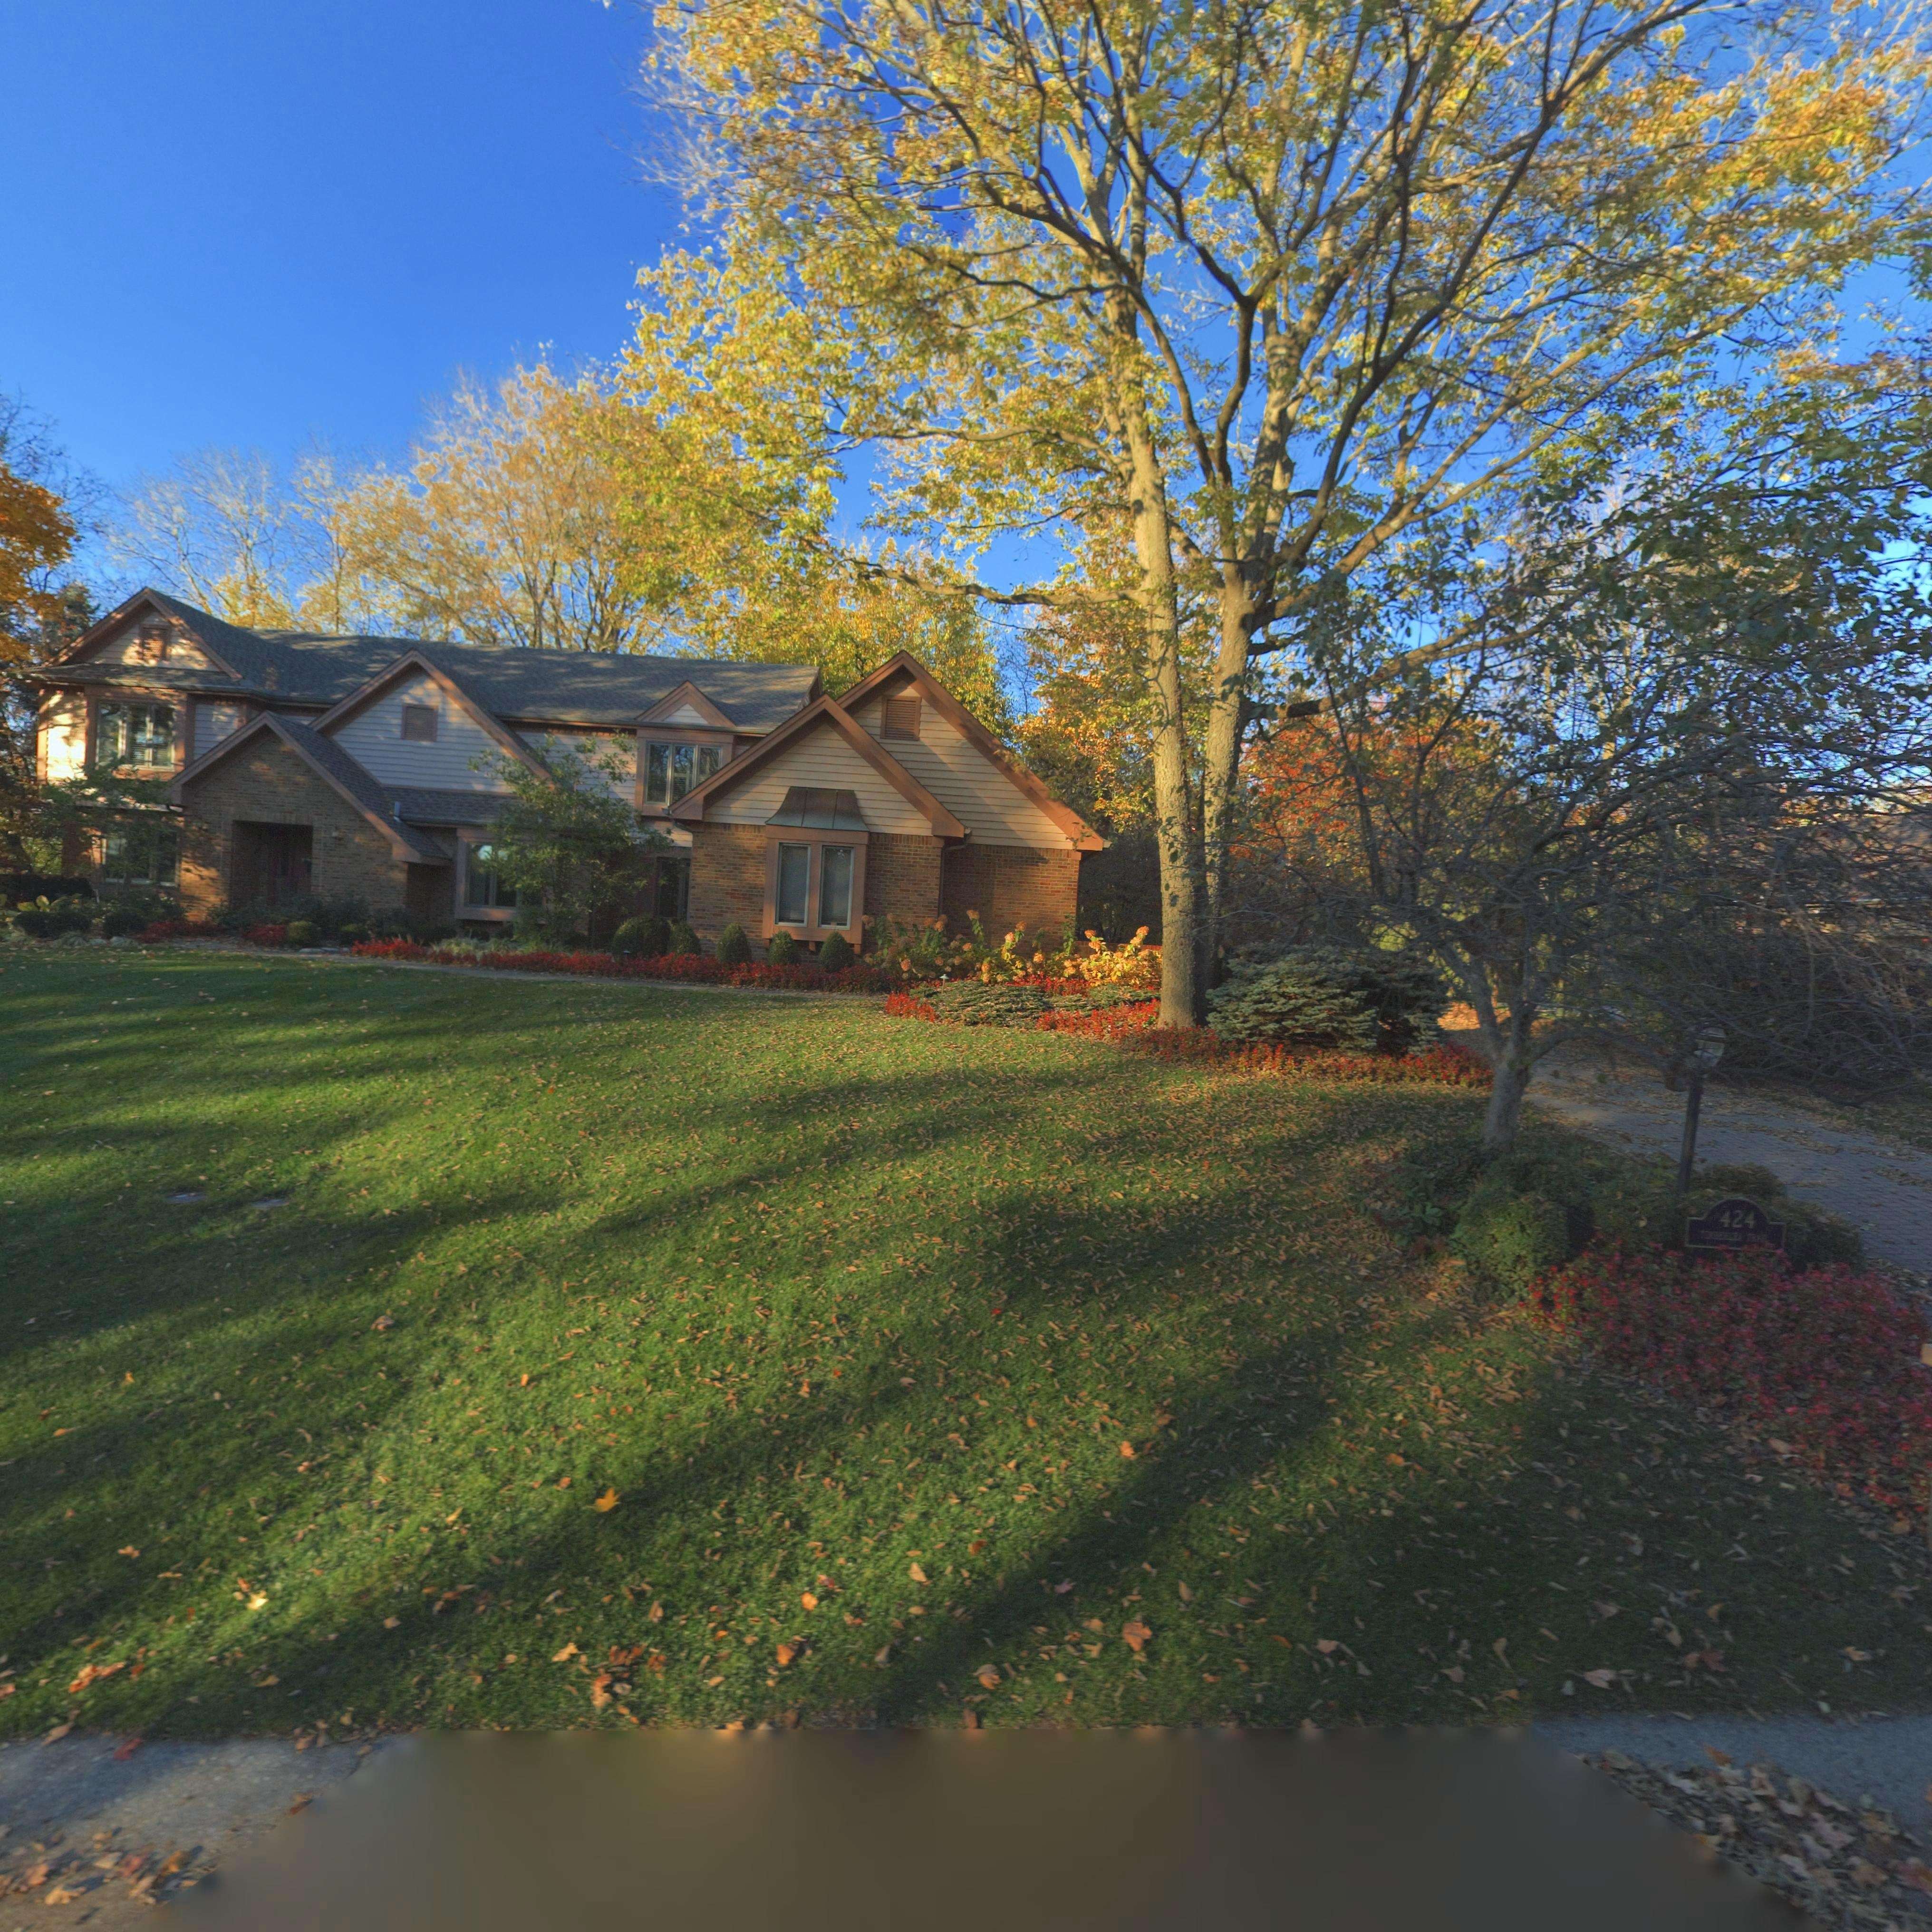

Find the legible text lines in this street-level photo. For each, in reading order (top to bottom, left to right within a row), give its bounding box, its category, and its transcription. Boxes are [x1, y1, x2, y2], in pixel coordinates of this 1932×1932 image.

[1717, 1208, 1757, 1231] StreetNumber: 424